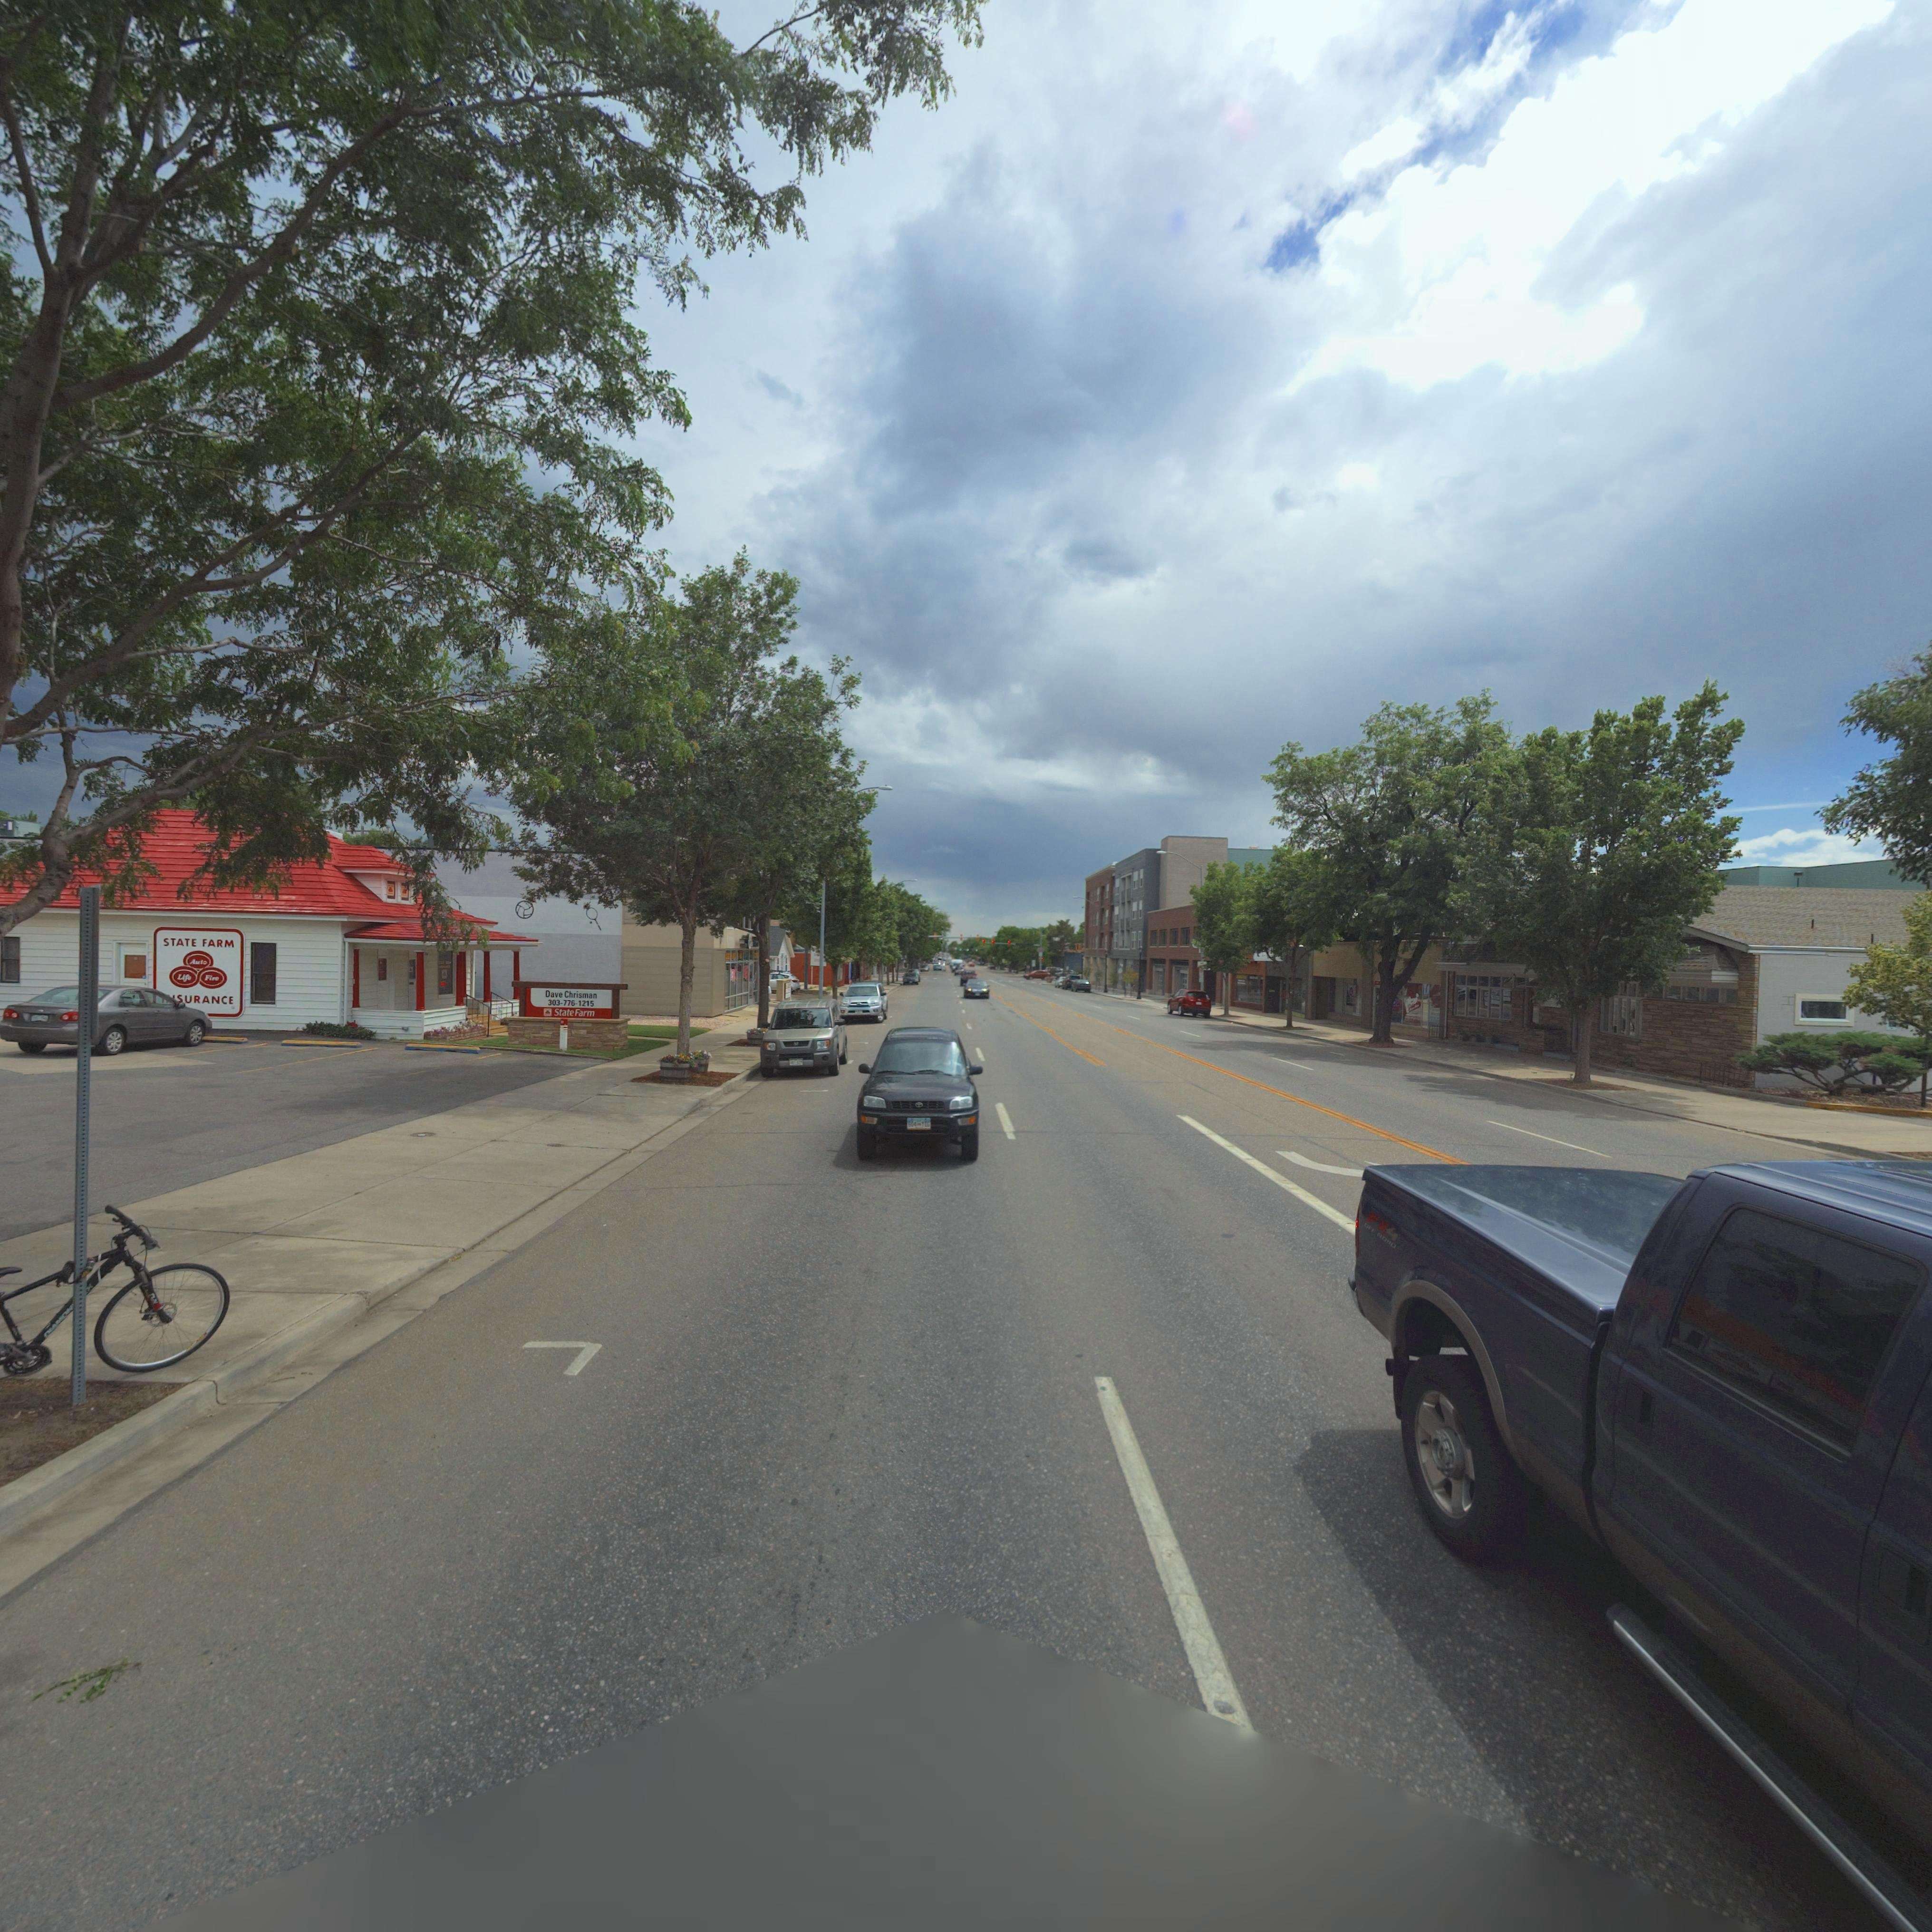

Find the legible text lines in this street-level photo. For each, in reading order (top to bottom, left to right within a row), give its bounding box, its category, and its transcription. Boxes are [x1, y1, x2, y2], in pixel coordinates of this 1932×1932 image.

[164, 937, 234, 947] BusinessName: STATE FARM
[161, 994, 233, 1005] BusinessName: ***URANCE
[553, 1008, 595, 1017] BusinessName: StateFarm